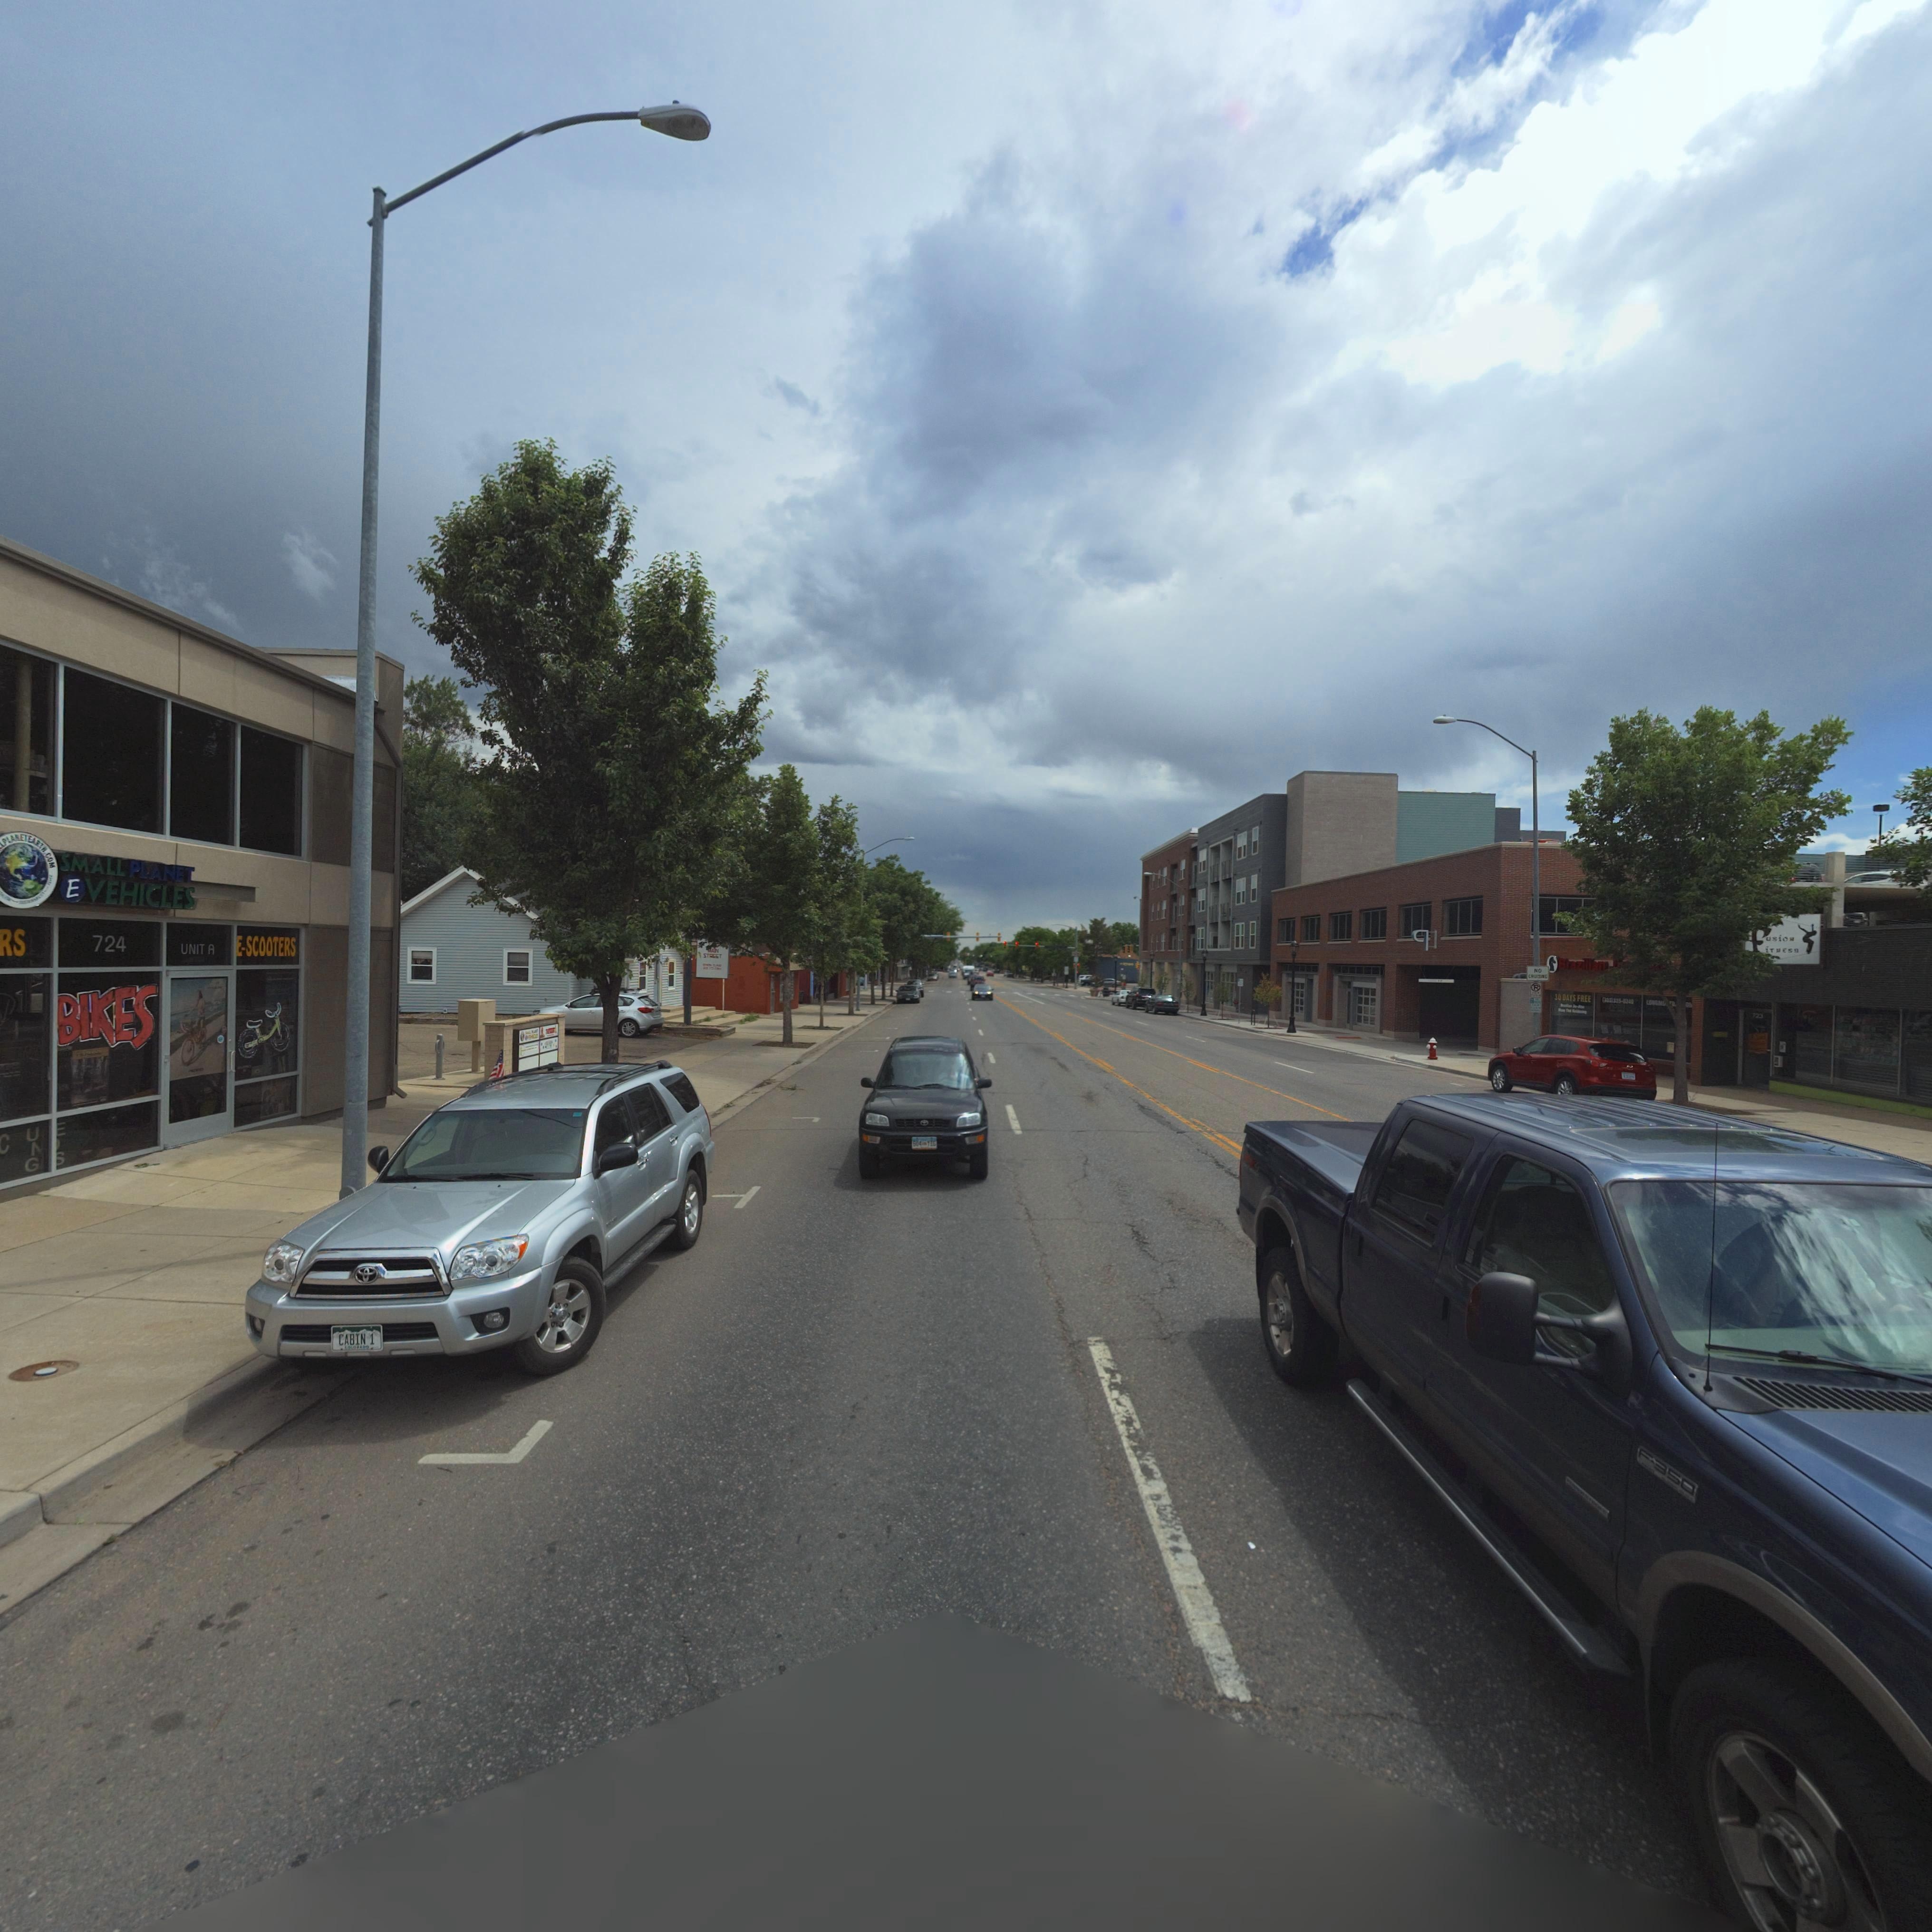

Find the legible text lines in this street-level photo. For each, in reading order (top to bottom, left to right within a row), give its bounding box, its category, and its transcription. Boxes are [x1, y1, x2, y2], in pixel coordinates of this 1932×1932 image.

[59, 851, 195, 883] BusinessName: SMALL PLANET
[66, 878, 195, 909] BusinessName: EVEHICLES
[92, 935, 127, 952] StreetNumber: 724
[180, 943, 214, 955] SecondaryUnitDesignator: UNIT A
[703, 953, 722, 958] StreetName: STREET
[707, 948, 719, 953] StreetName: MAIN
[1748, 925, 1773, 952] BusinessName: f
[1765, 934, 1794, 941] BusinessName: USiON
[1765, 946, 1799, 953] BusinessName: iTNeSS